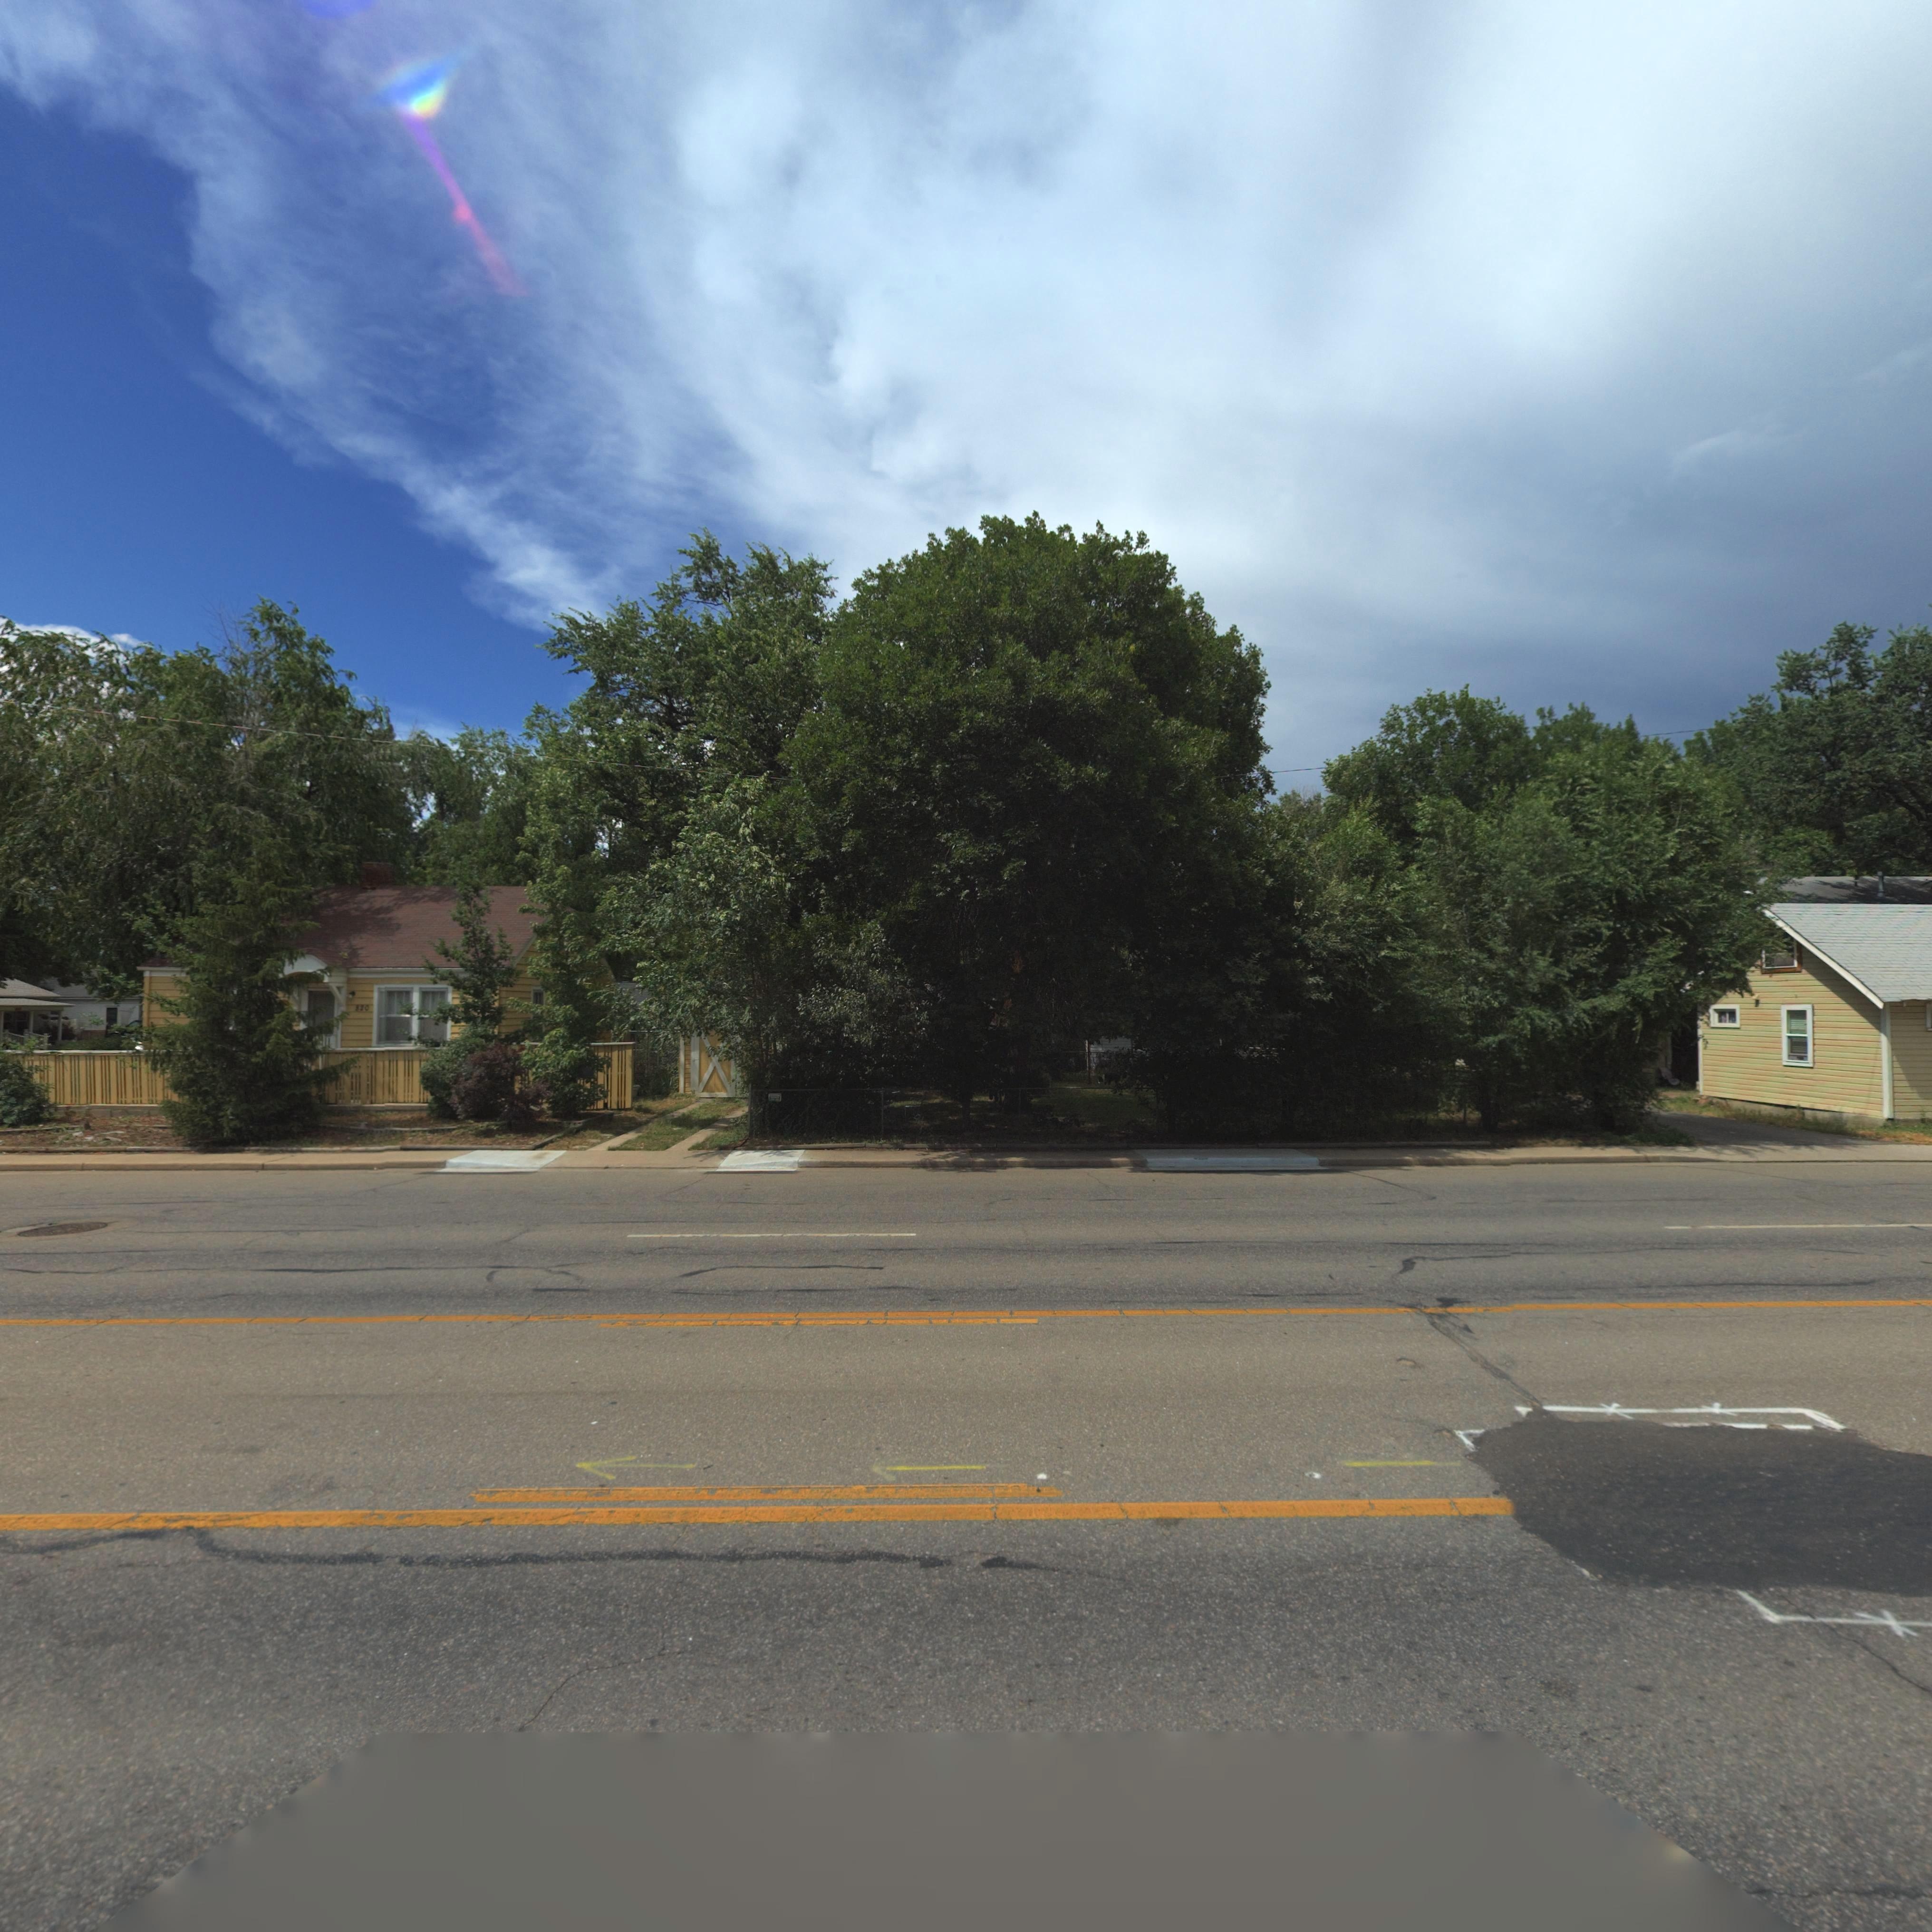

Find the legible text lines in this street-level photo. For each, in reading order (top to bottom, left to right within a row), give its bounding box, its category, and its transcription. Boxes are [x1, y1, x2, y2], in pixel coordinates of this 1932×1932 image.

[355, 1004, 369, 1011] StreetNumber: 820